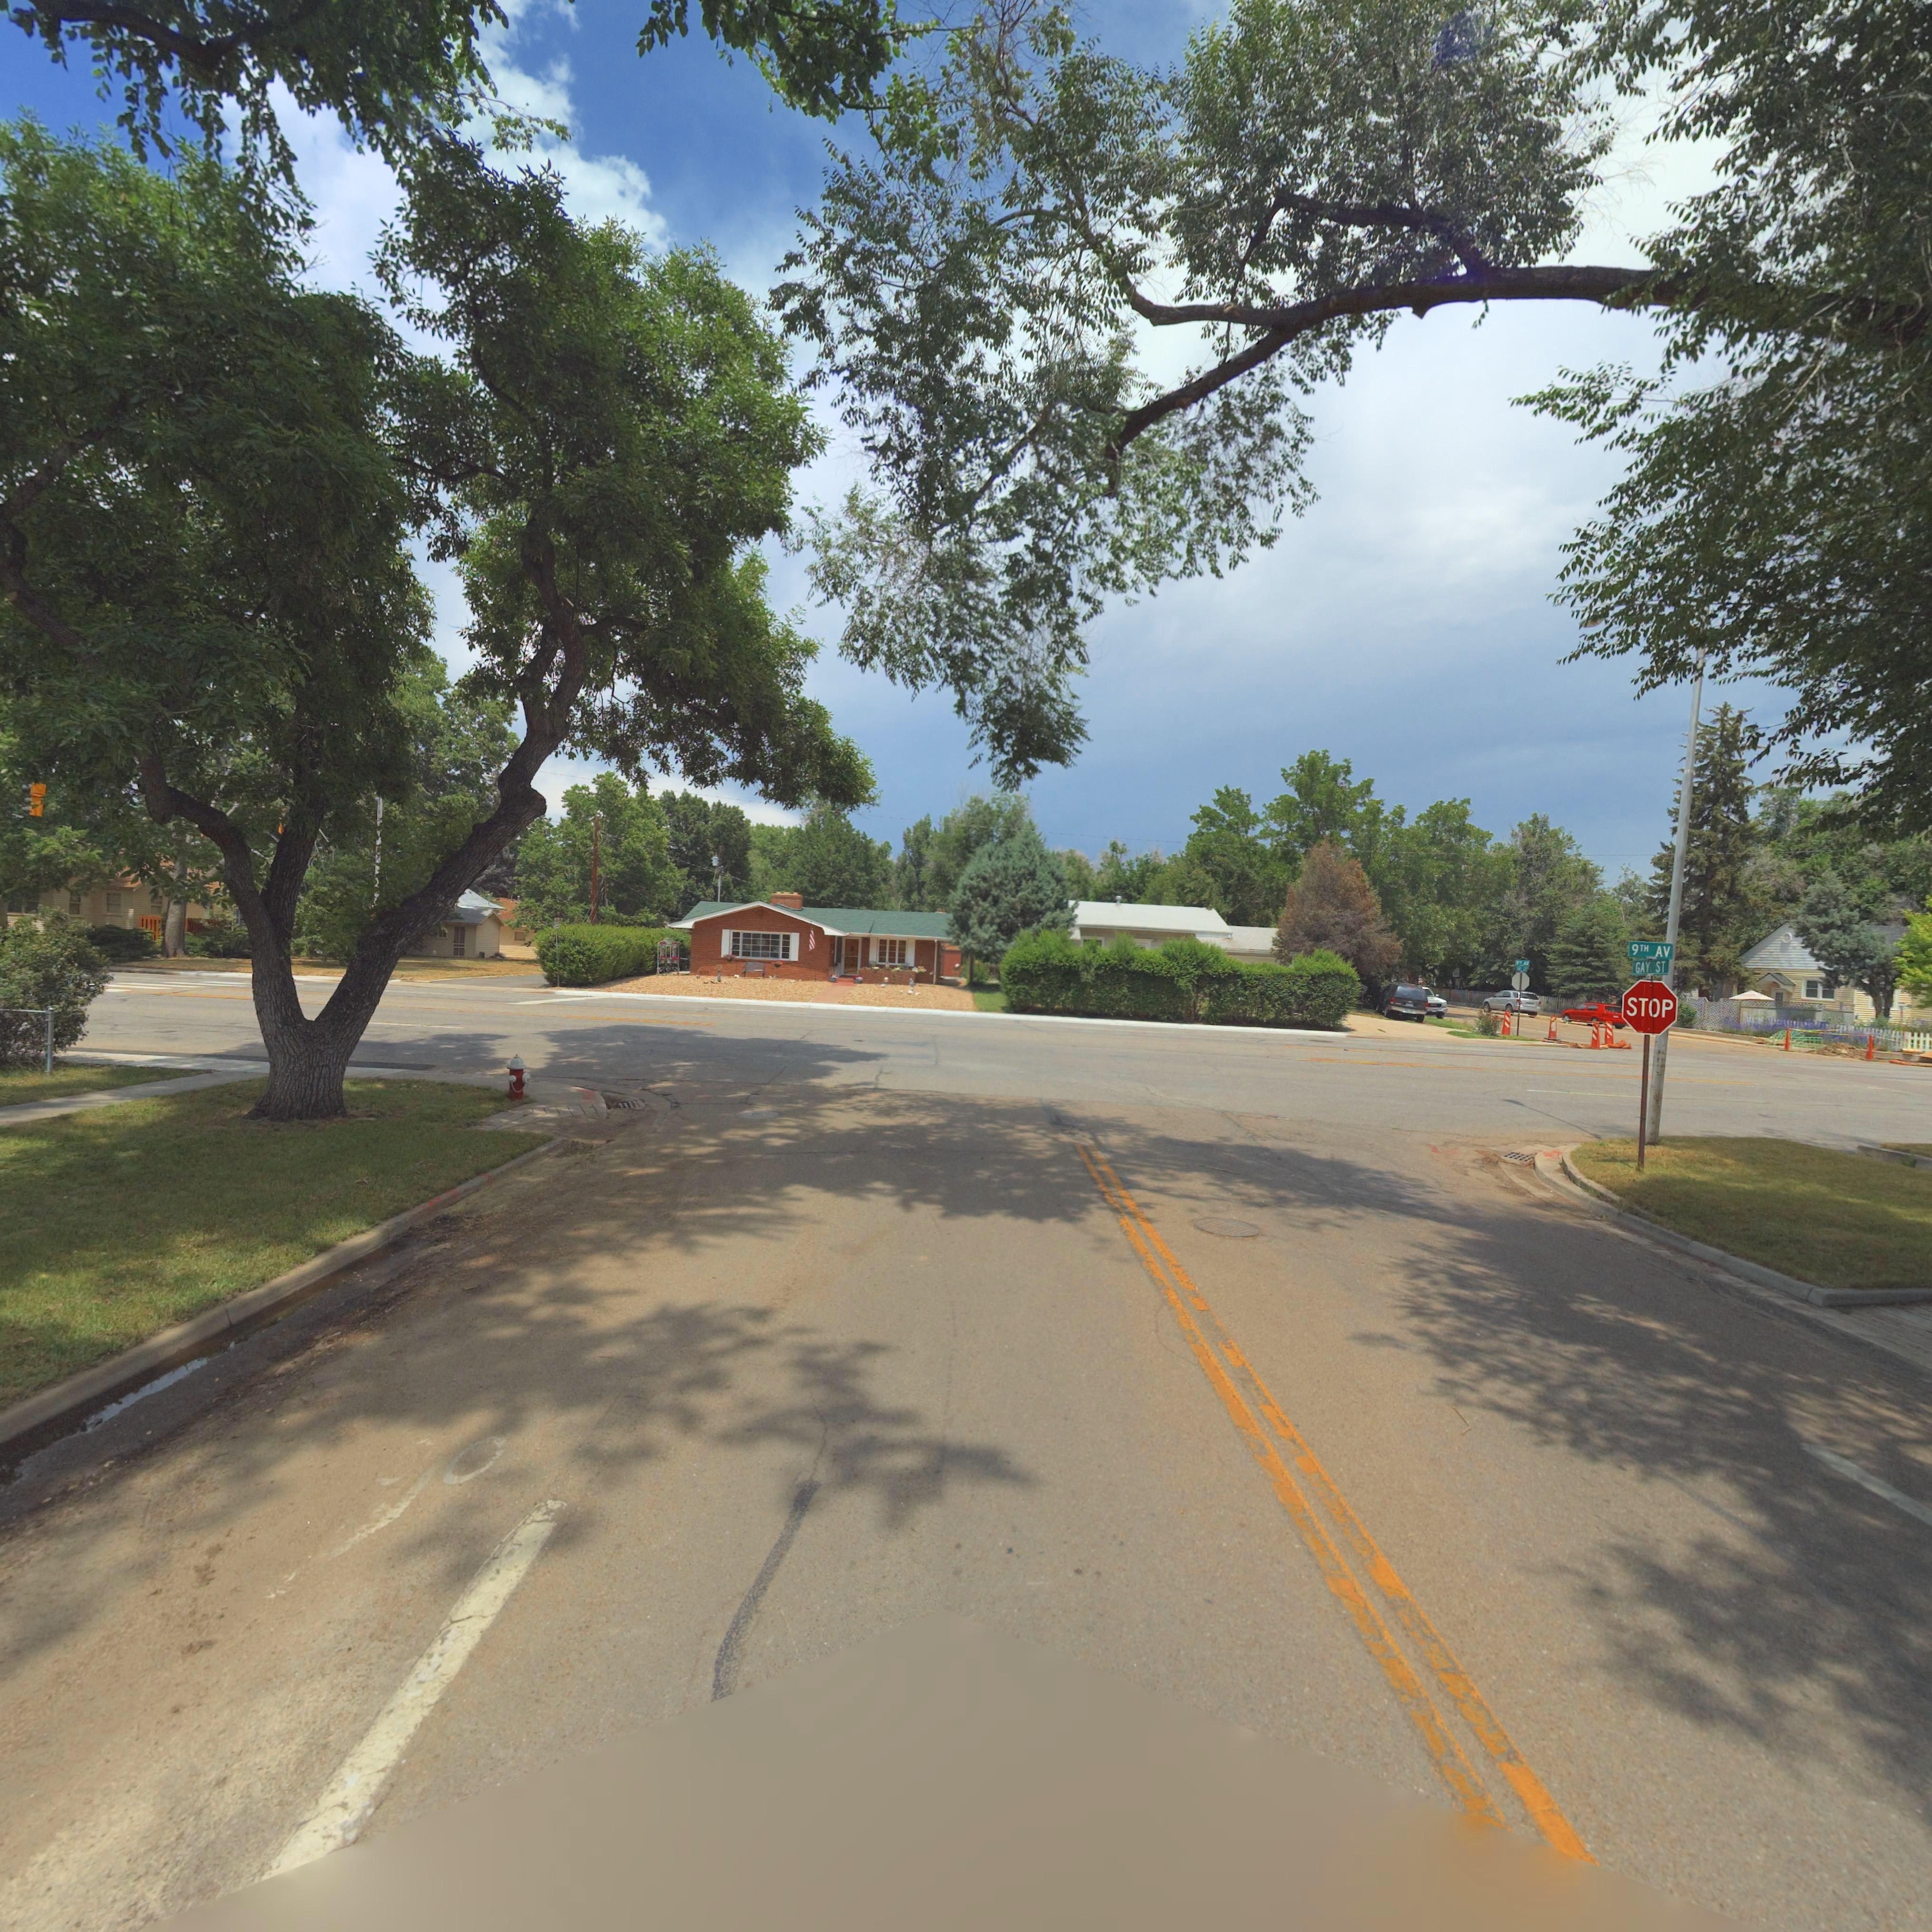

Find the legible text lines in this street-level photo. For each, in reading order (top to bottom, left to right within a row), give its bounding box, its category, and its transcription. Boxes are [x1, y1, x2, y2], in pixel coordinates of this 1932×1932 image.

[1631, 943, 1671, 958] StreetName: 9TH AV
[1517, 966, 1527, 972] StreetName: G** ST
[1516, 960, 1530, 966] StreetName: 9** AV
[1634, 960, 1667, 974] StreetName: GAY ST